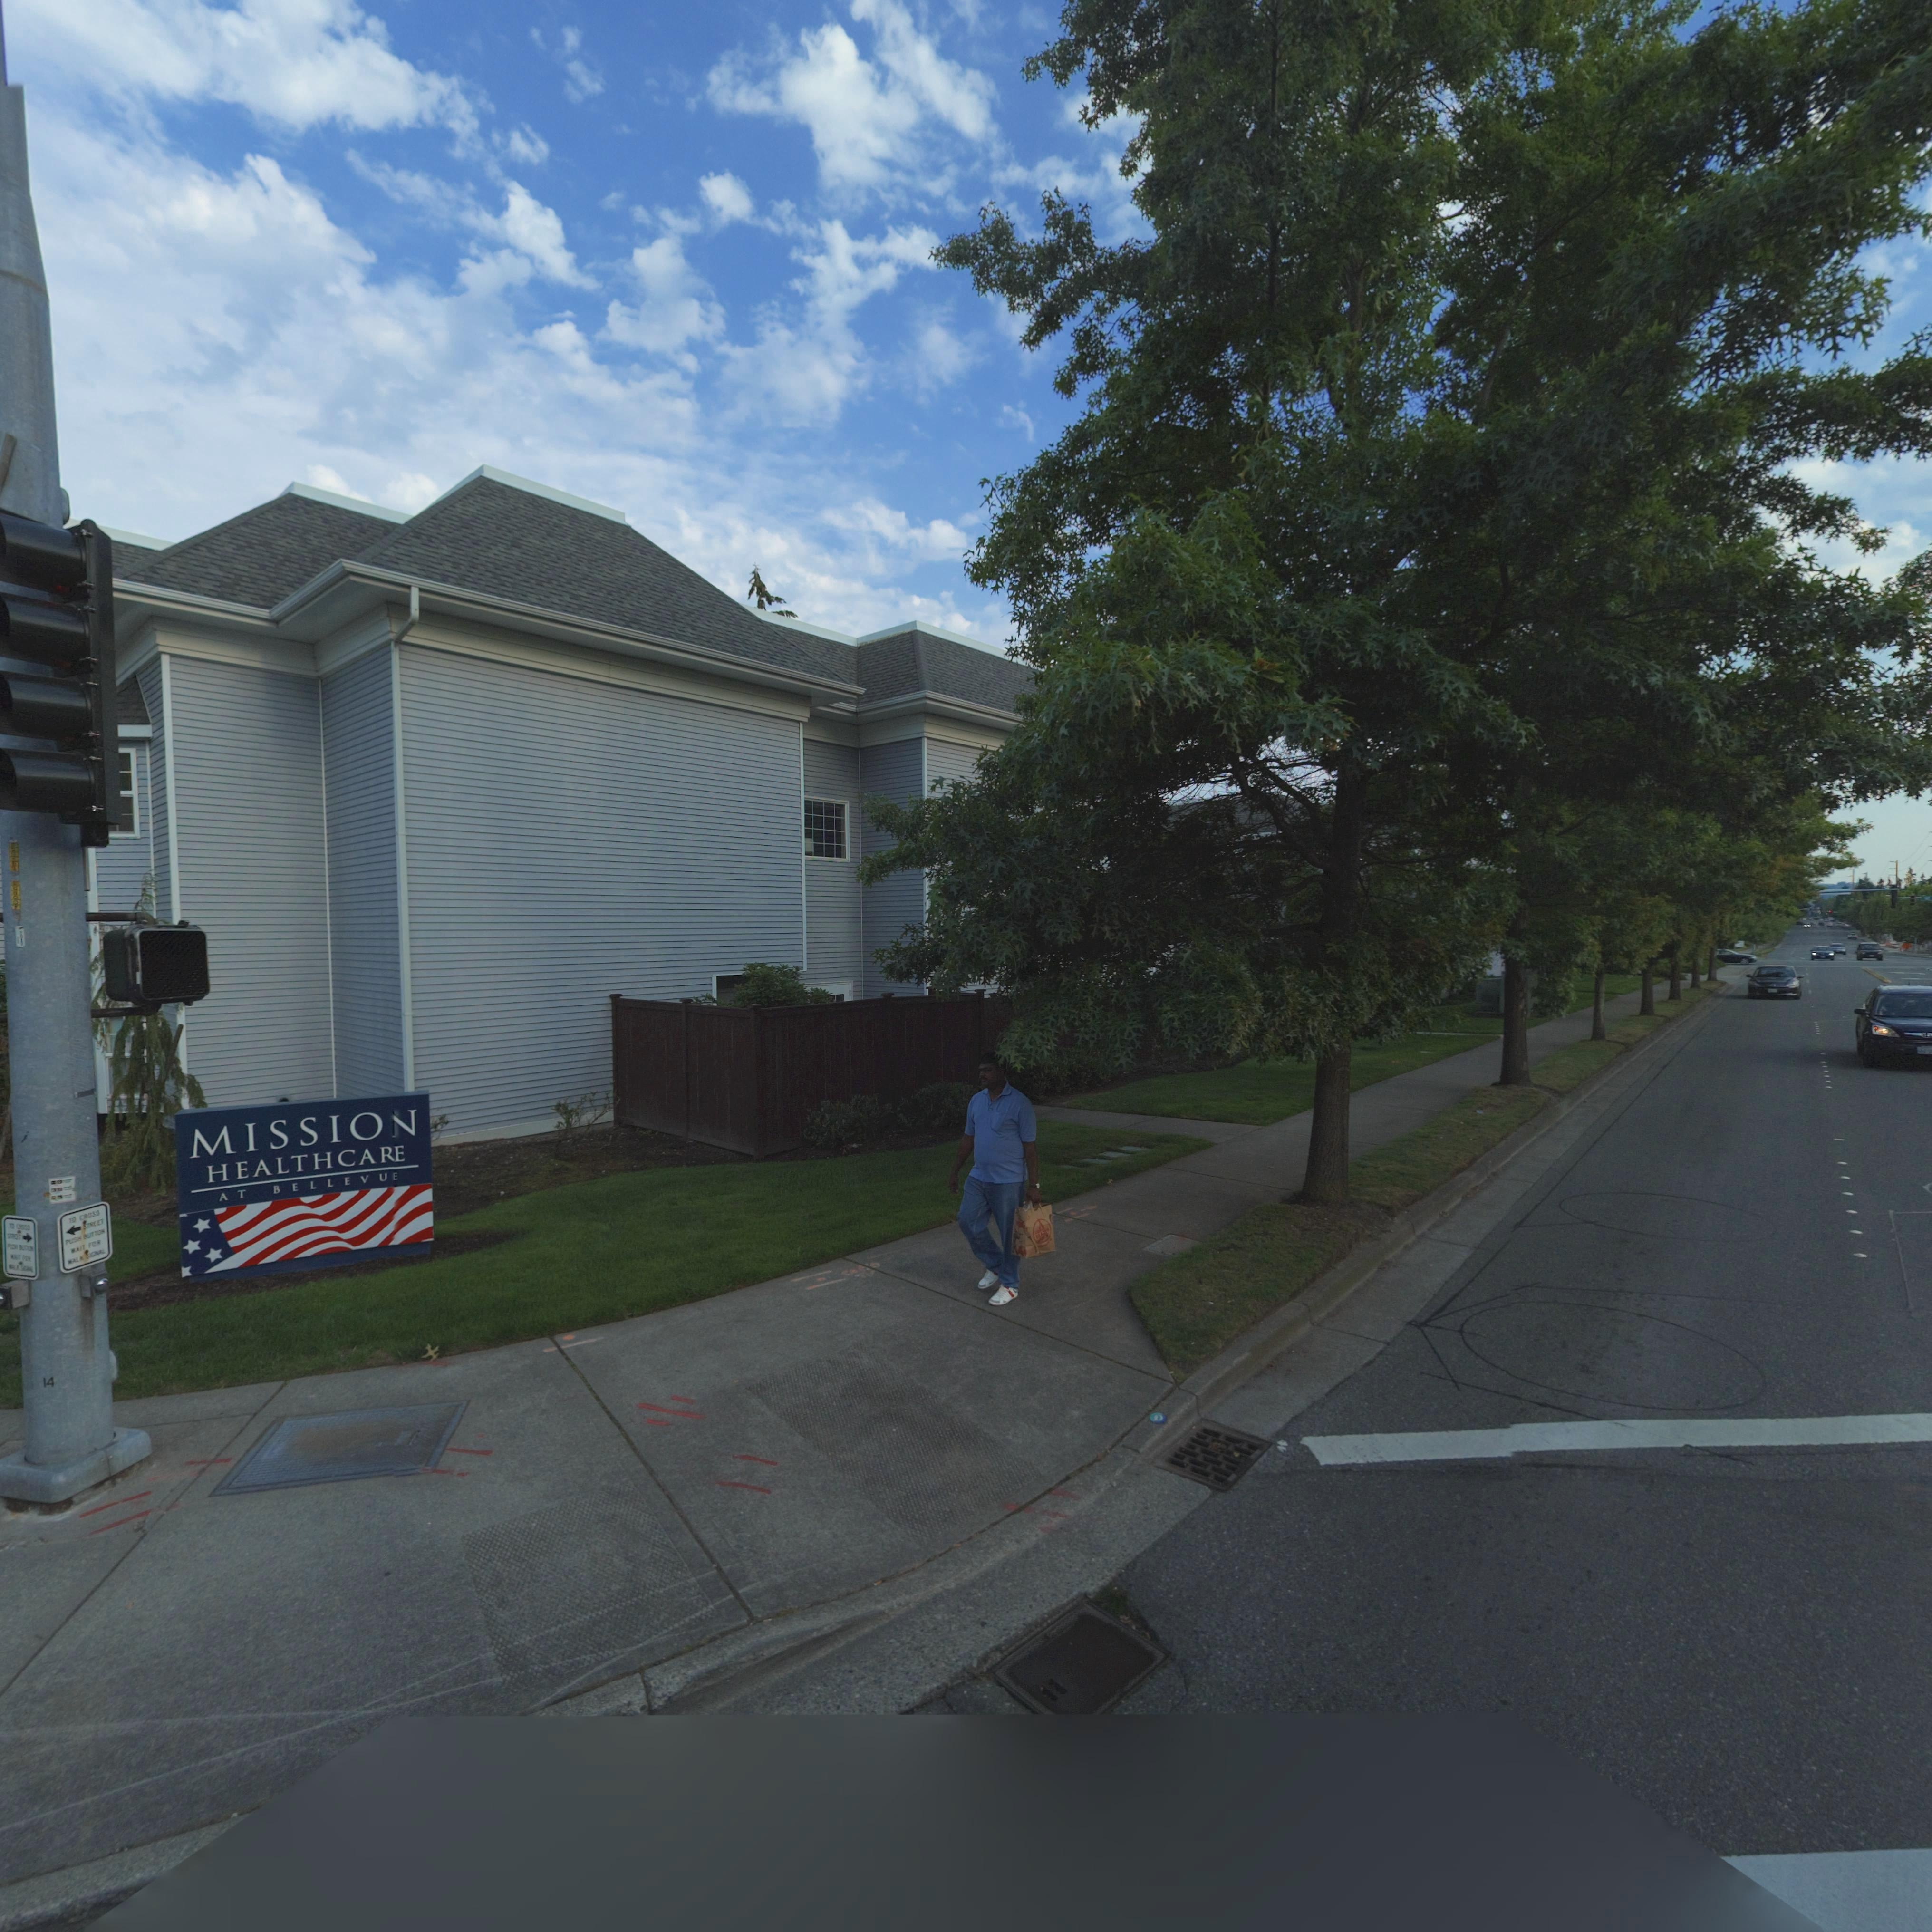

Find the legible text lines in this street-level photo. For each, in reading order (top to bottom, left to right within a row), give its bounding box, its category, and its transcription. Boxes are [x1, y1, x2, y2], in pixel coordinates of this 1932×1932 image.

[189, 1109, 418, 1162] BusinessName: MISSION
[206, 1145, 405, 1183] BusinessName: HEALTHCARE
[218, 1170, 401, 1203] BusinessName: AT BELLEVUE